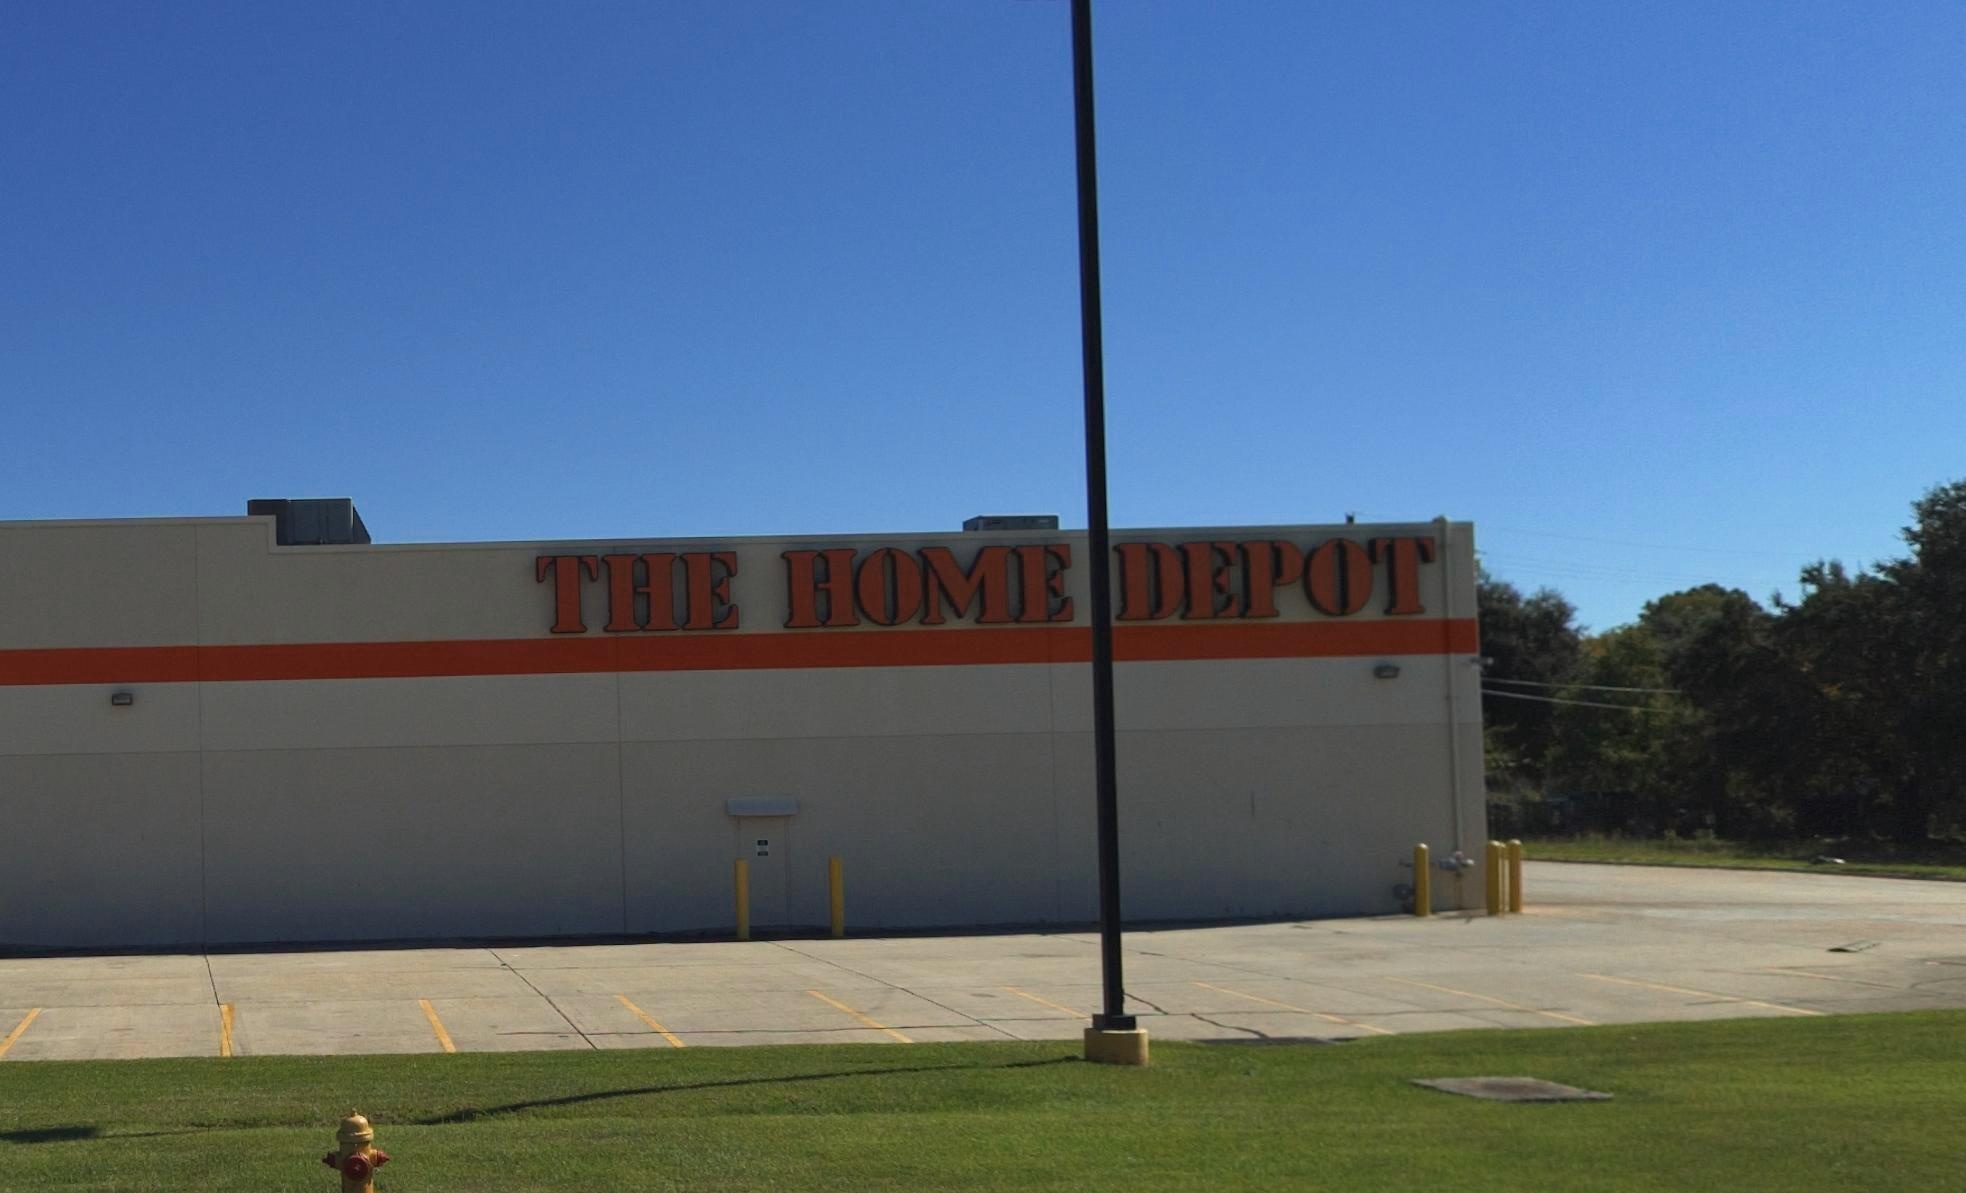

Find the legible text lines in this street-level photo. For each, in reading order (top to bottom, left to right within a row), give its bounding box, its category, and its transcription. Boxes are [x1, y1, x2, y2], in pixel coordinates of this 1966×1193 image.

[529, 530, 1442, 638] BusinessName: THE HOME DEPOT